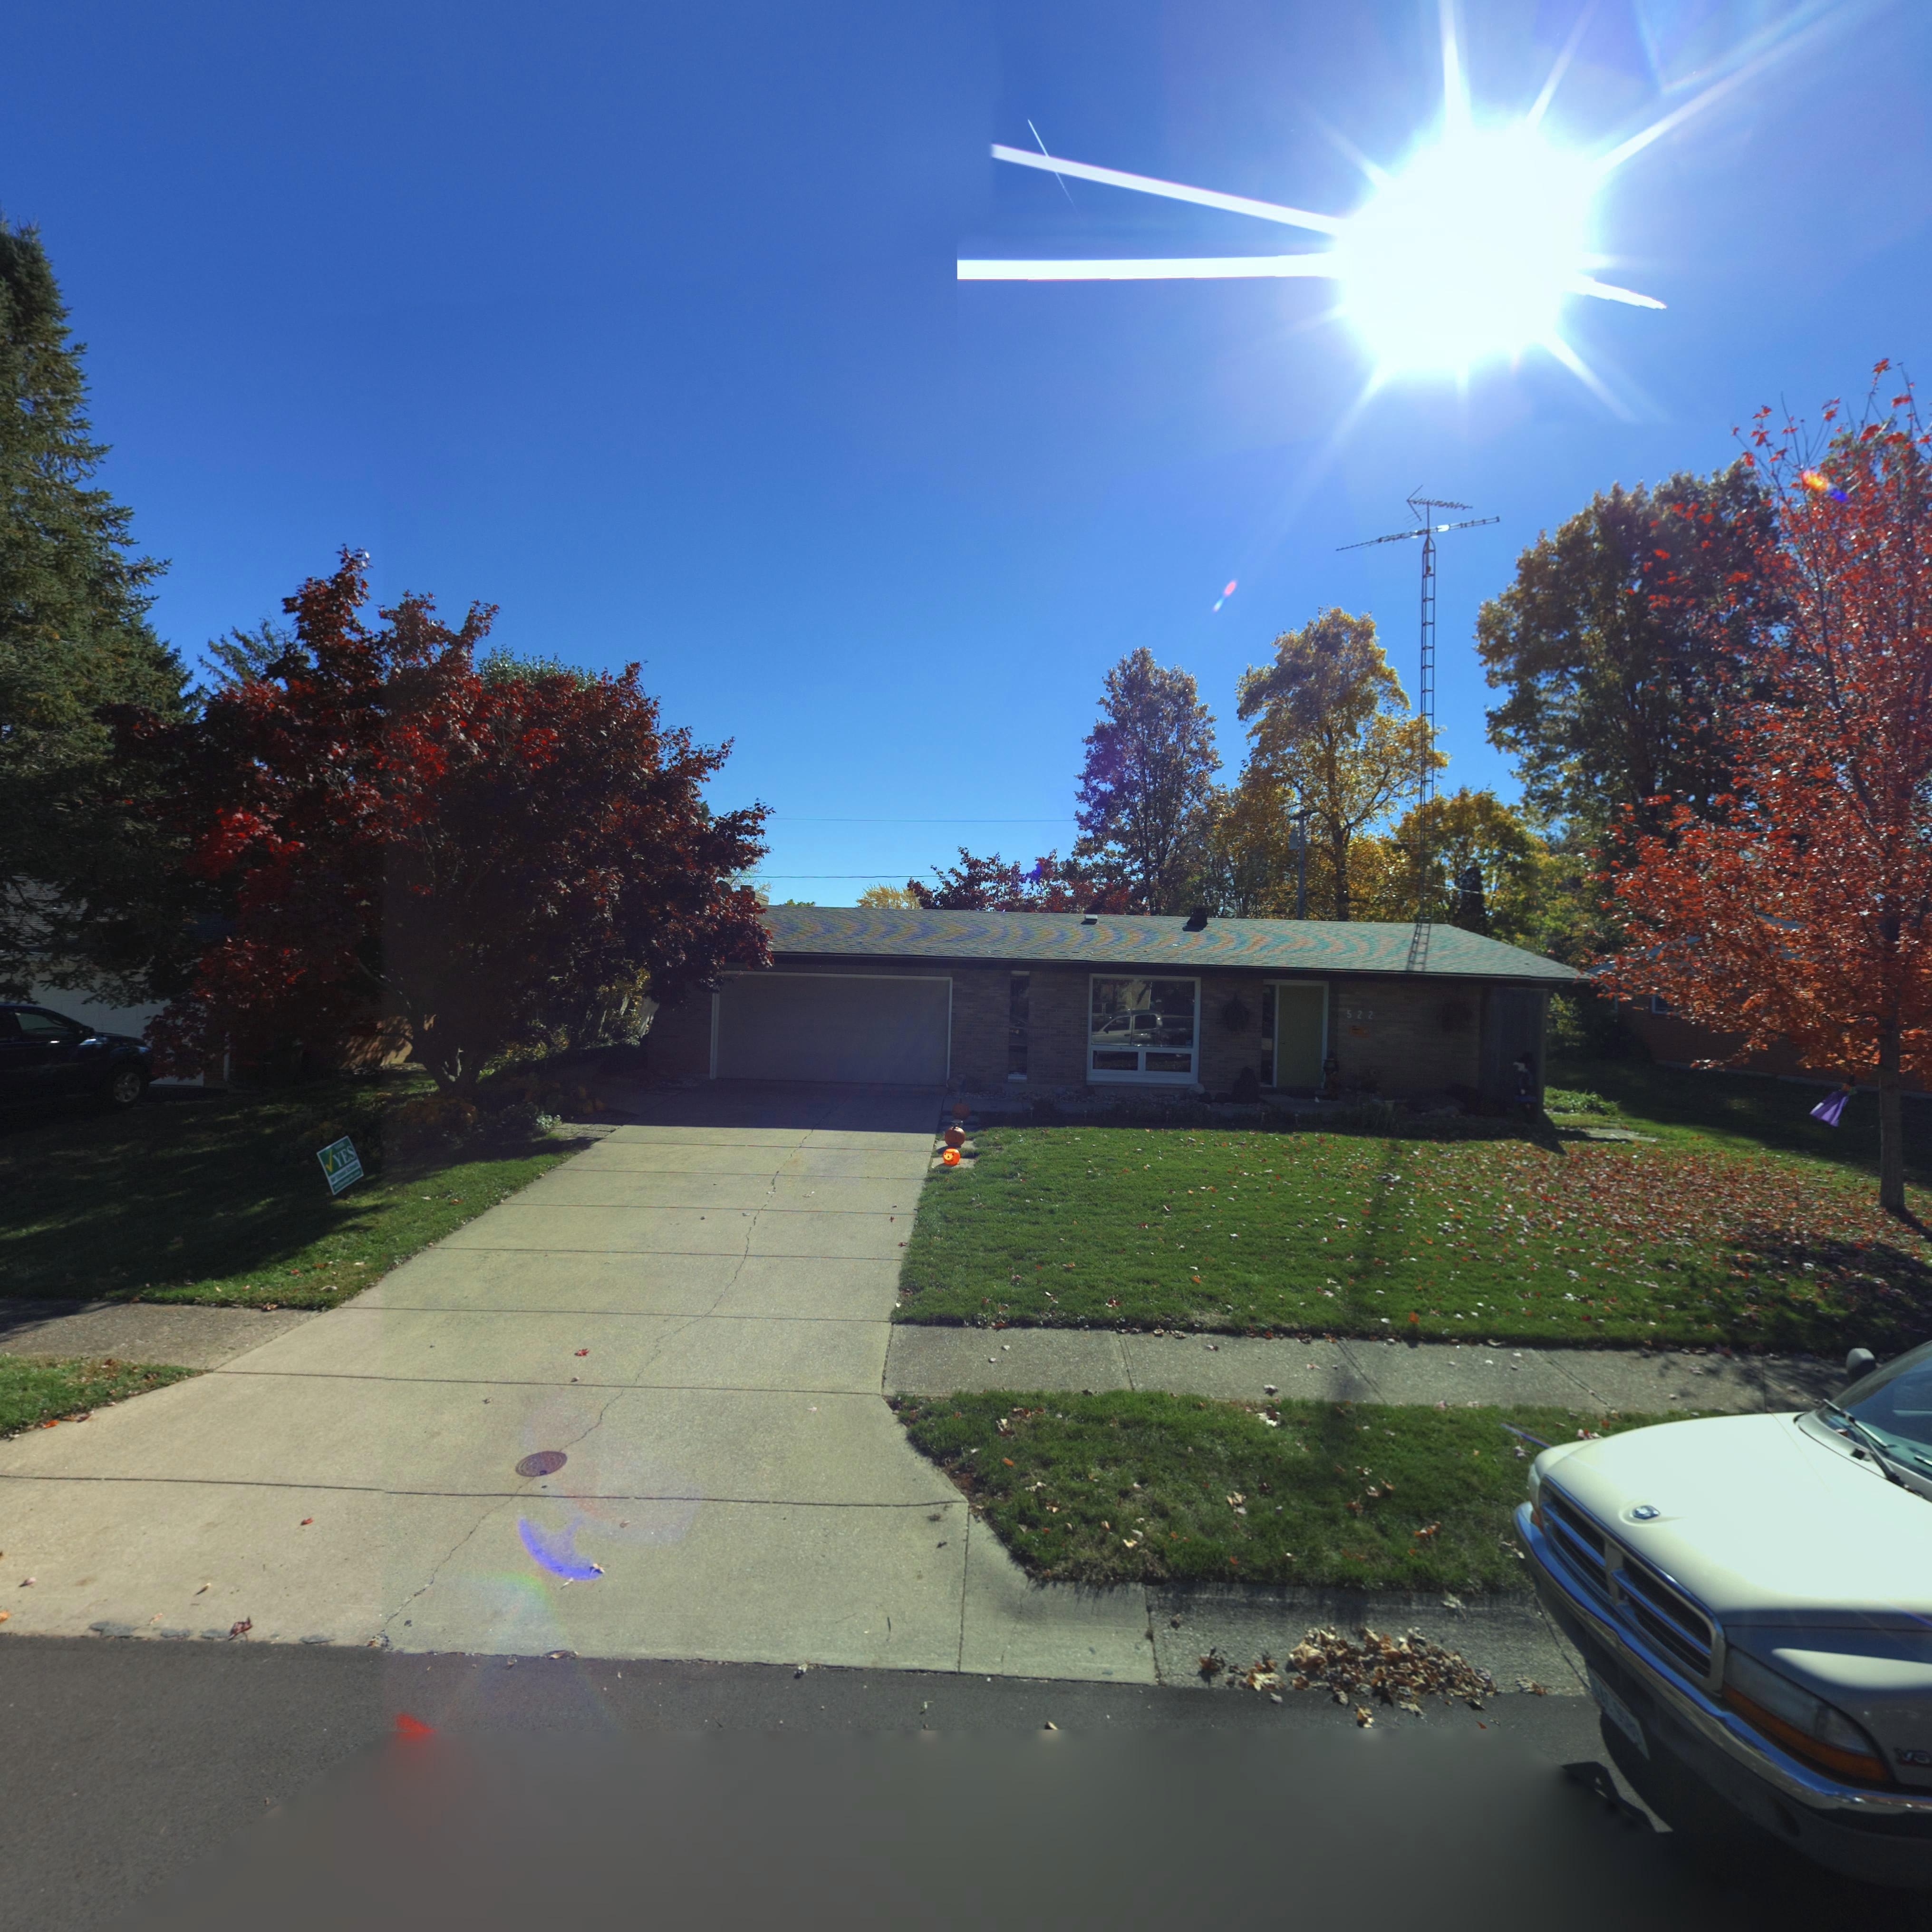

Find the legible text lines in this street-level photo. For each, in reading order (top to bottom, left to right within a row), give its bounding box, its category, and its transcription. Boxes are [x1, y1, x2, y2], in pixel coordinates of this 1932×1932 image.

[1346, 1009, 1374, 1020] StreetNumber: 522
[330, 1144, 358, 1169] None: YES